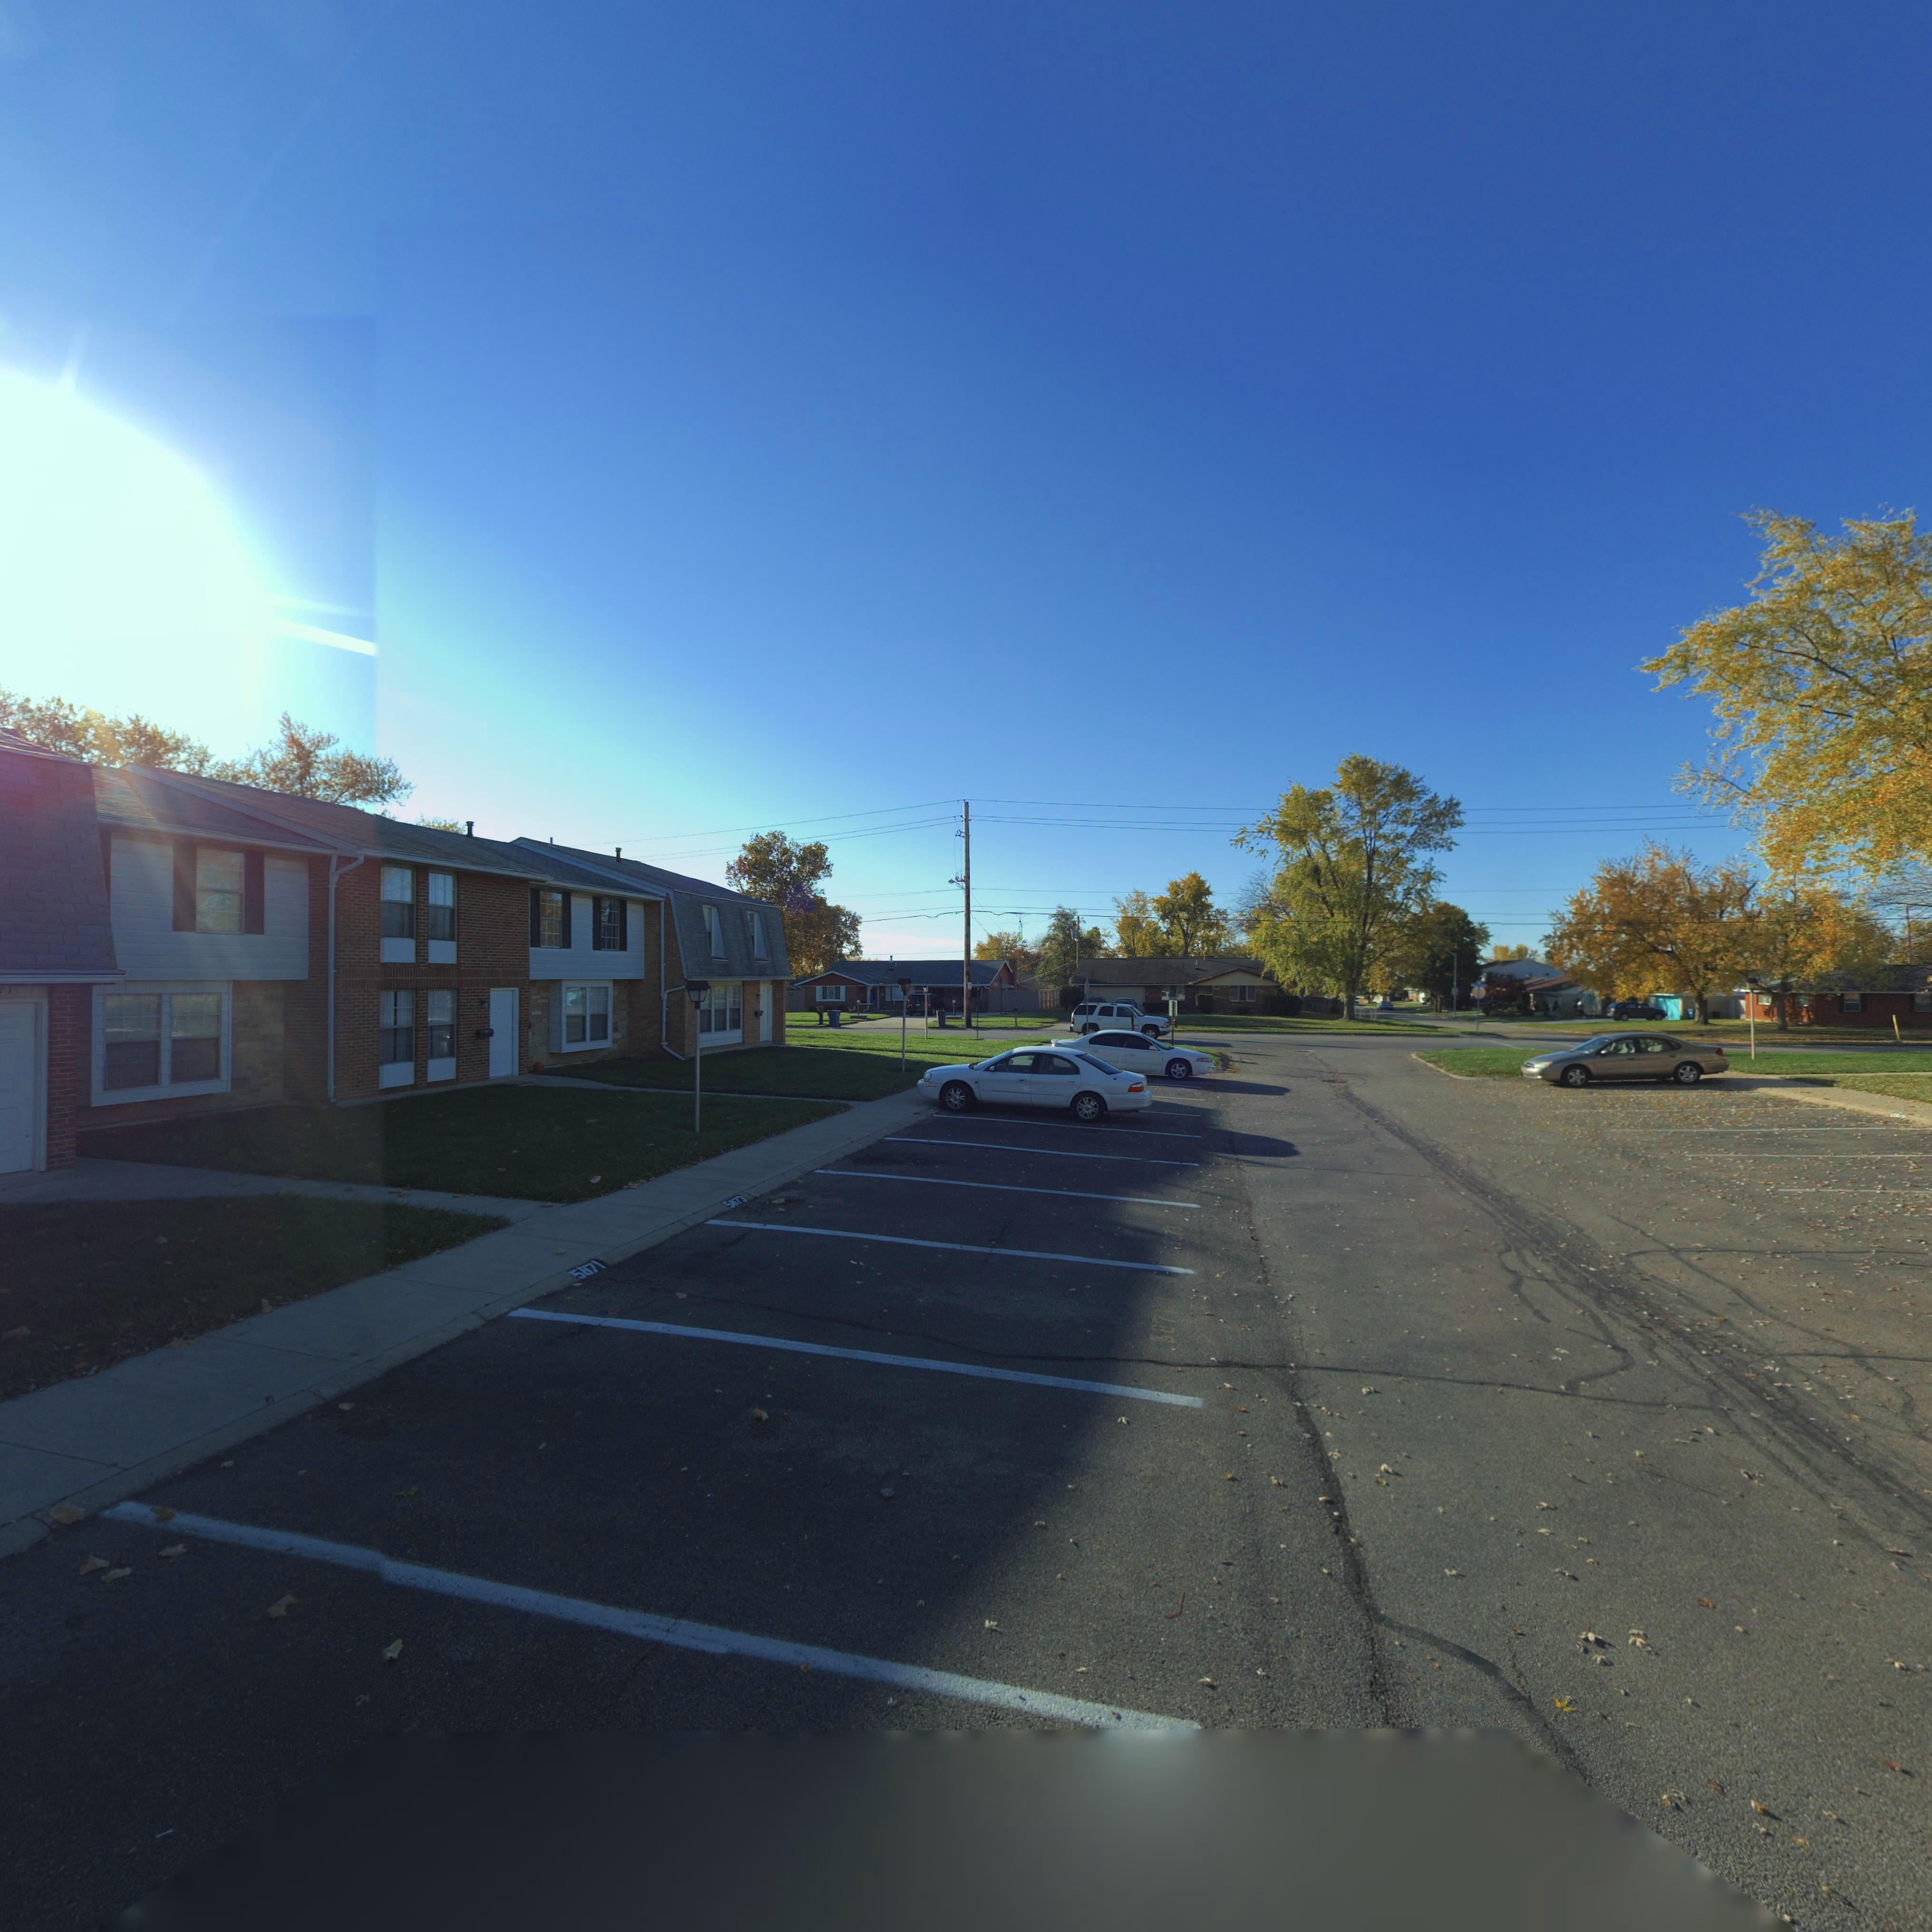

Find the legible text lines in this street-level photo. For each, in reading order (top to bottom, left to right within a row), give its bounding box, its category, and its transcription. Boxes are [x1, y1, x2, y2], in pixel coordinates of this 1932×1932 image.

[722, 1195, 749, 1209] StreetNumber: 5873
[567, 1258, 608, 1281] StreetNumber: 5871